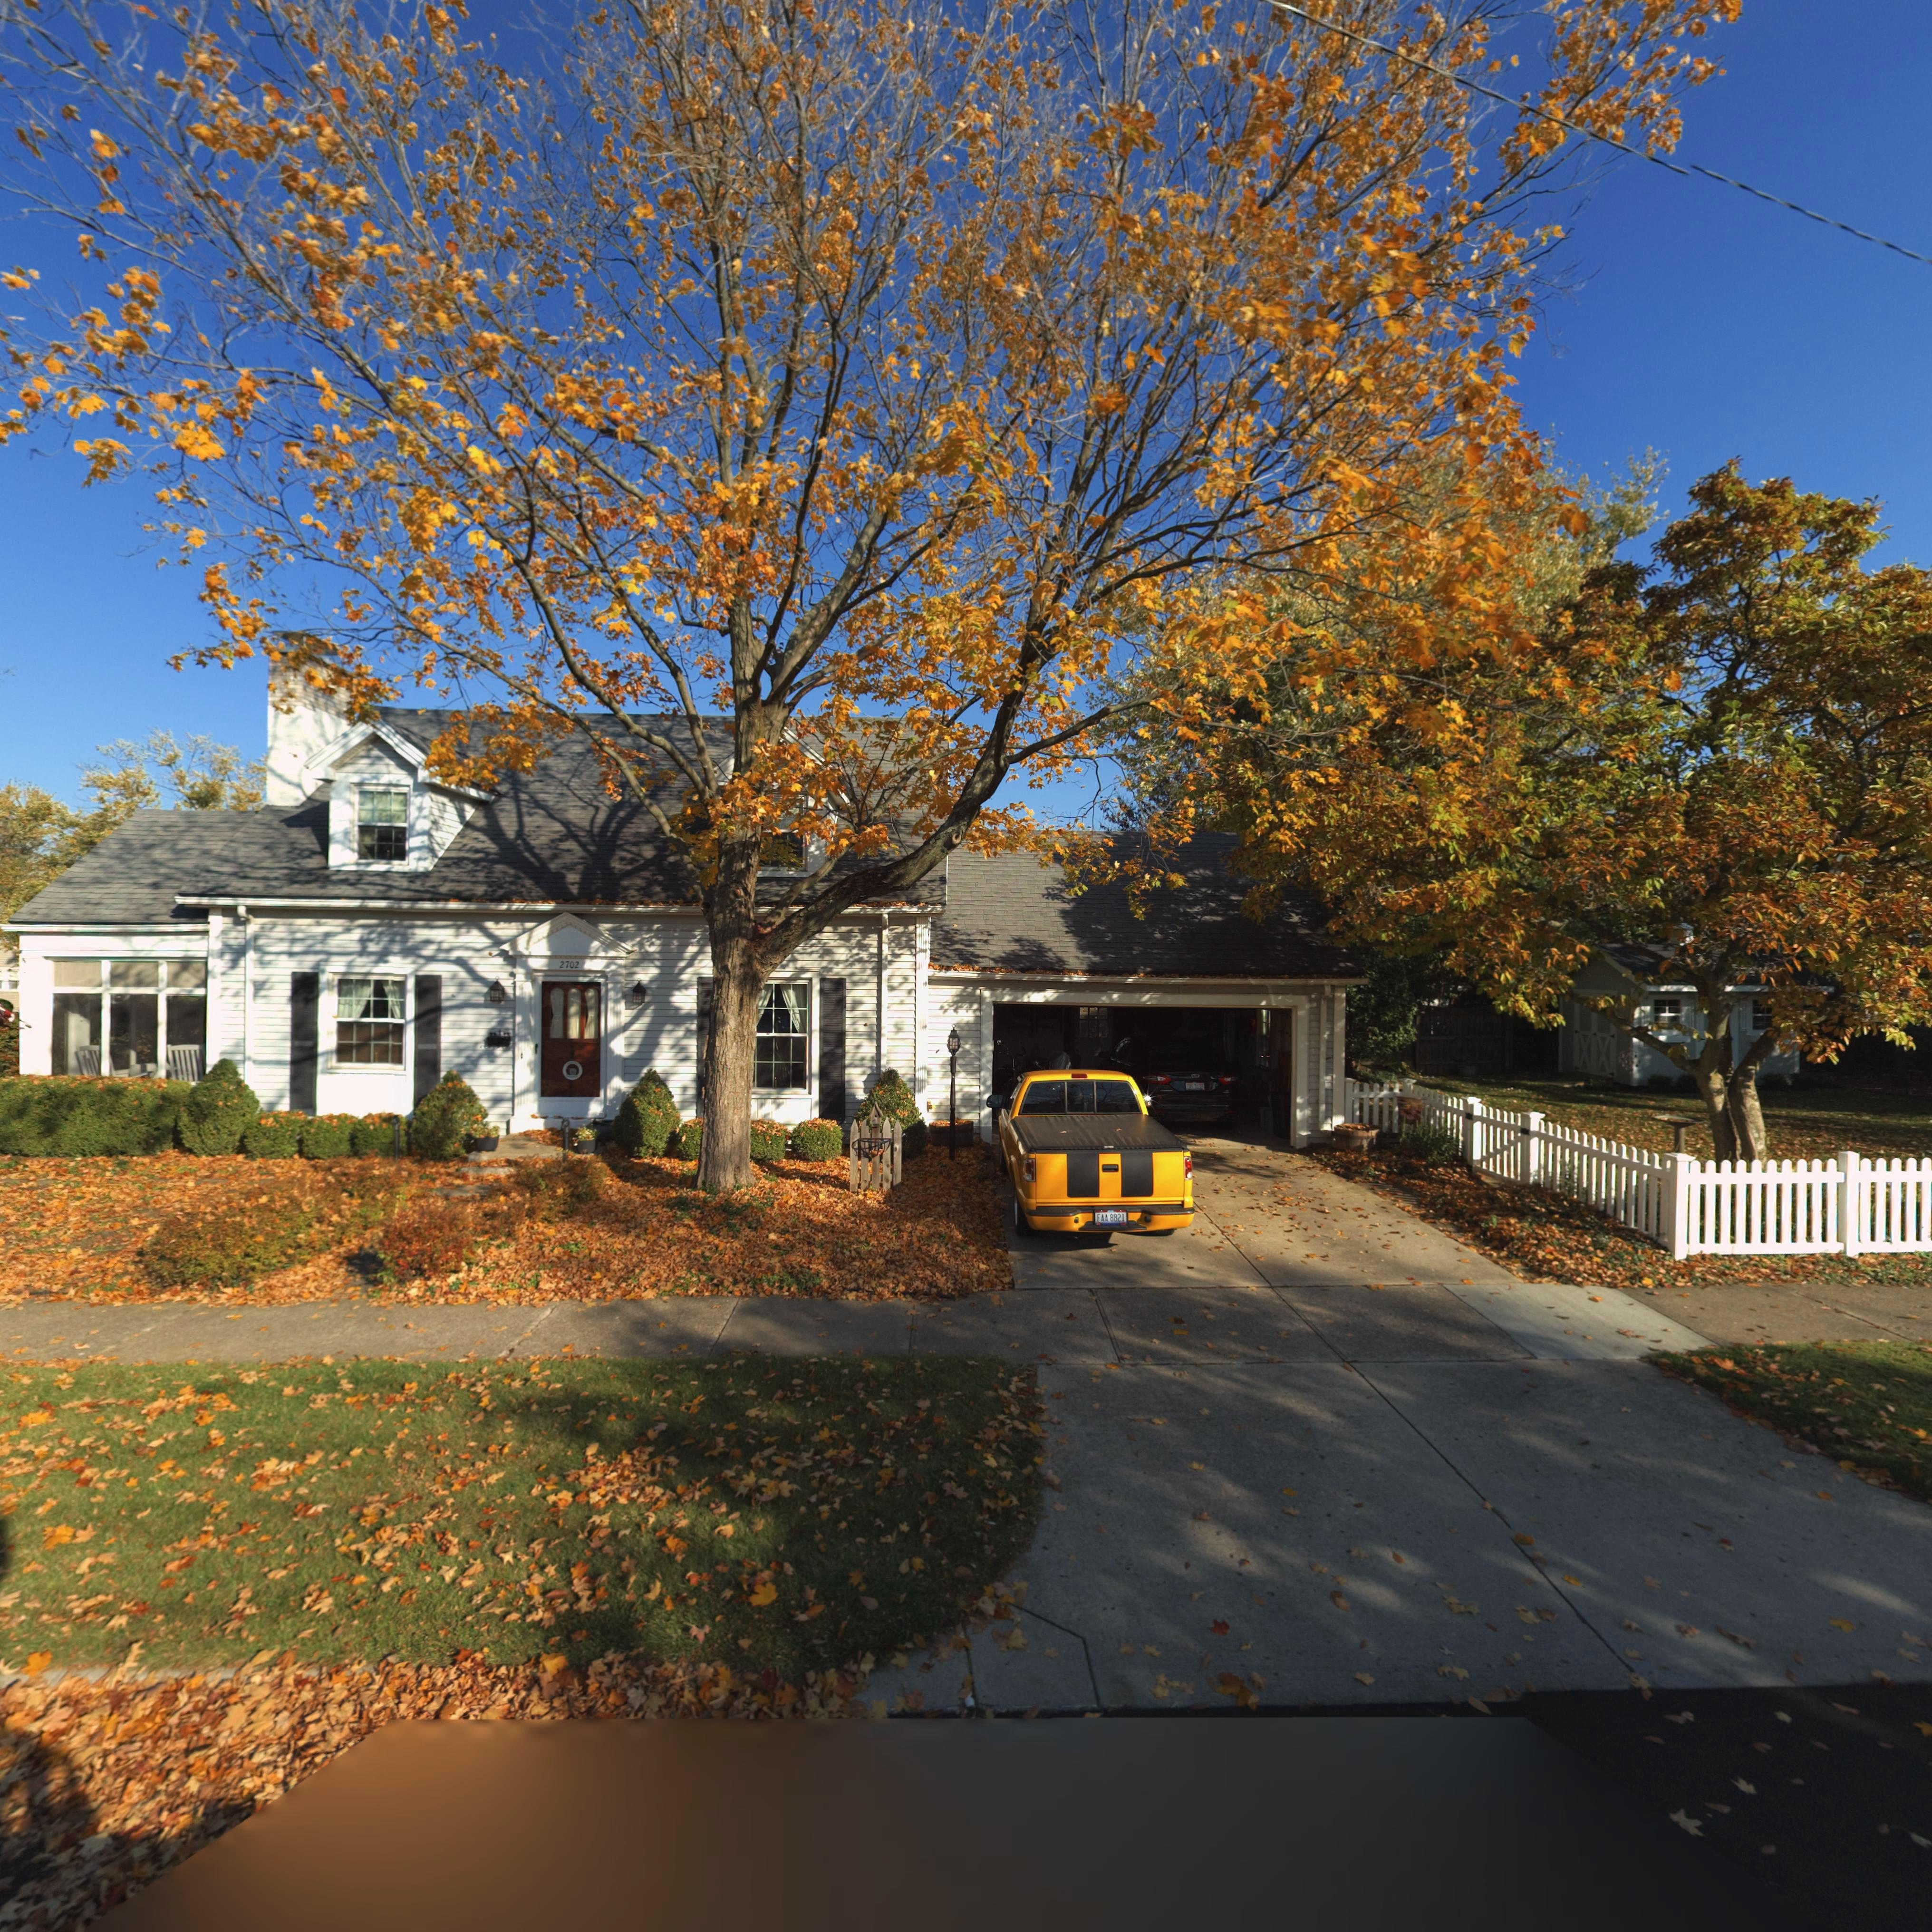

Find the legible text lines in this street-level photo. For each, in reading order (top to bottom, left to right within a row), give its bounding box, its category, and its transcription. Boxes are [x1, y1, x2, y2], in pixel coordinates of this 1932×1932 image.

[558, 959, 580, 970] StreetNumber: 2702
[1095, 1212, 1125, 1224] None: FAA 8821